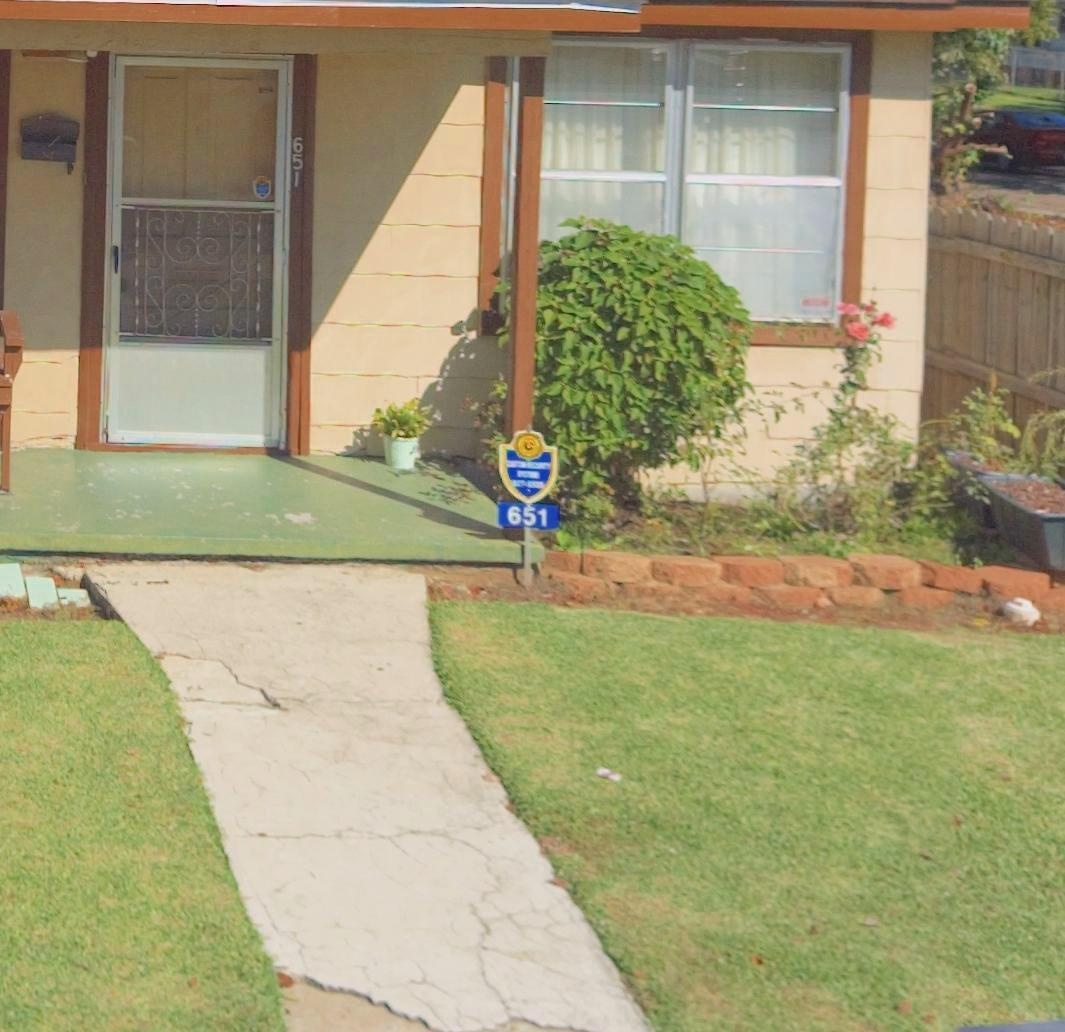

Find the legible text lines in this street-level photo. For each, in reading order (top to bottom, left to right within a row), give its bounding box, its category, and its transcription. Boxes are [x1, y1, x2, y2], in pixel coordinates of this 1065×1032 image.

[289, 134, 305, 194] StreetNumber: 651
[505, 501, 551, 532] StreetNumber: 651